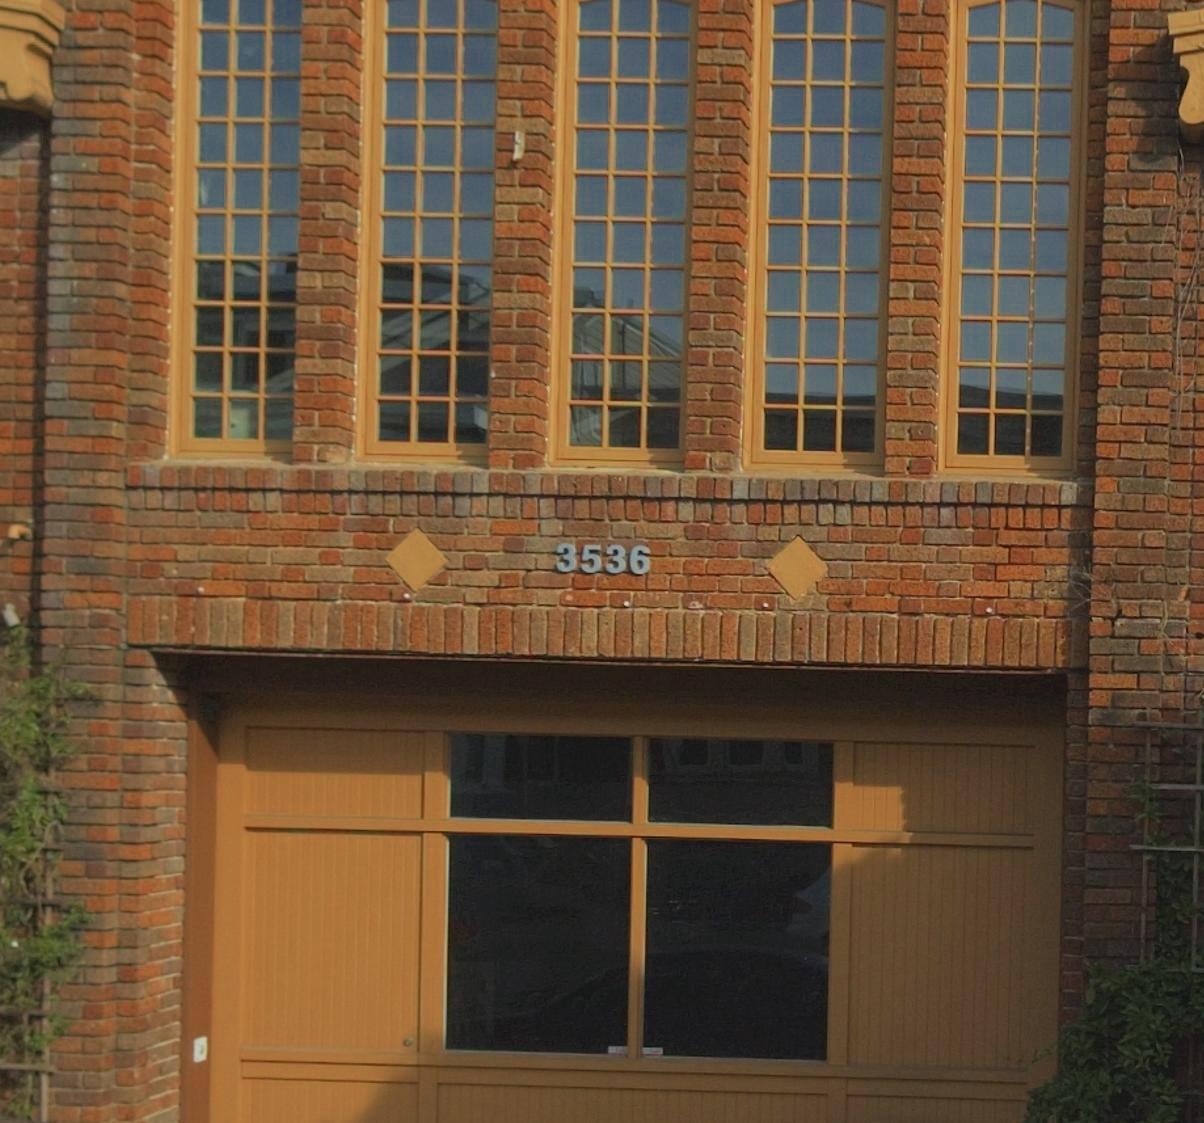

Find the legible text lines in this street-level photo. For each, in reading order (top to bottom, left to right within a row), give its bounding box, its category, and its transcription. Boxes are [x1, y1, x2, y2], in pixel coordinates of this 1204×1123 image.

[553, 541, 652, 576] StreetNumber: 3536